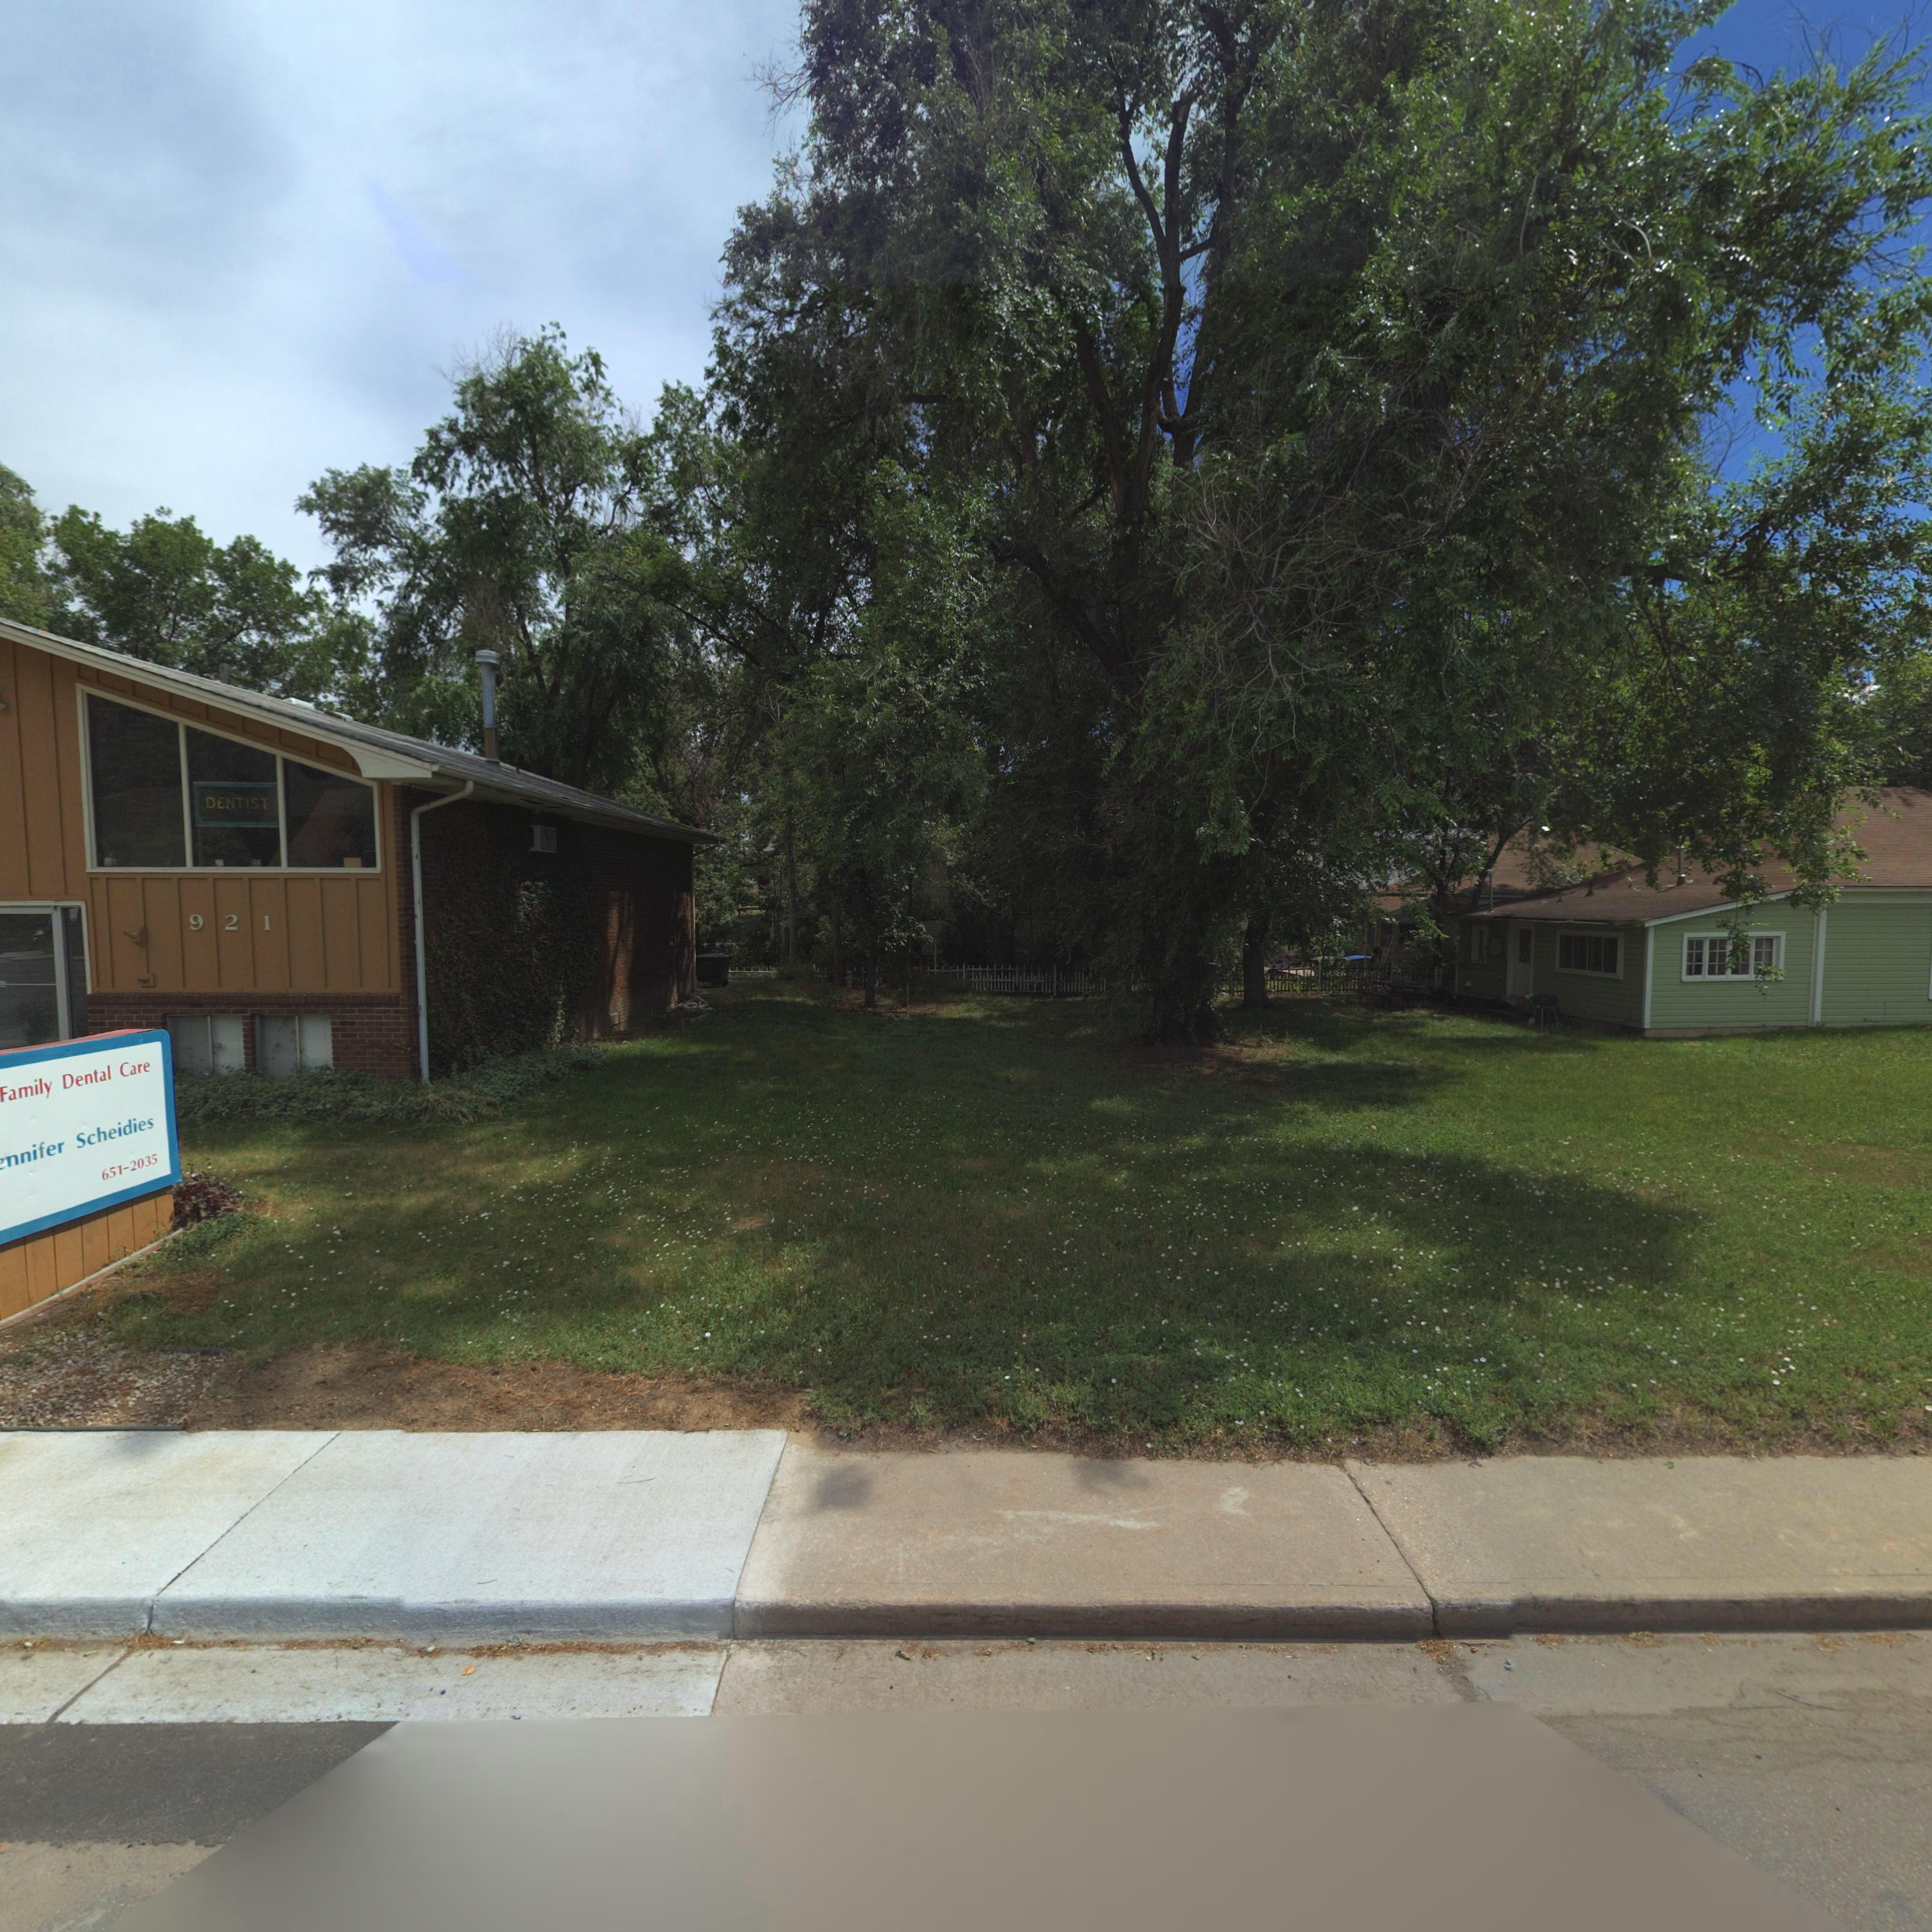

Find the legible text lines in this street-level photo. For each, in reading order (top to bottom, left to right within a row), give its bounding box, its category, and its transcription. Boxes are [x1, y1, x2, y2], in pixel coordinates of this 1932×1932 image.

[187, 914, 272, 931] StreetNumber: 921
[0, 1061, 150, 1102] BusinessName: Family Dental Care
[5, 1117, 154, 1168] BusinessName: nnifer Scheidies